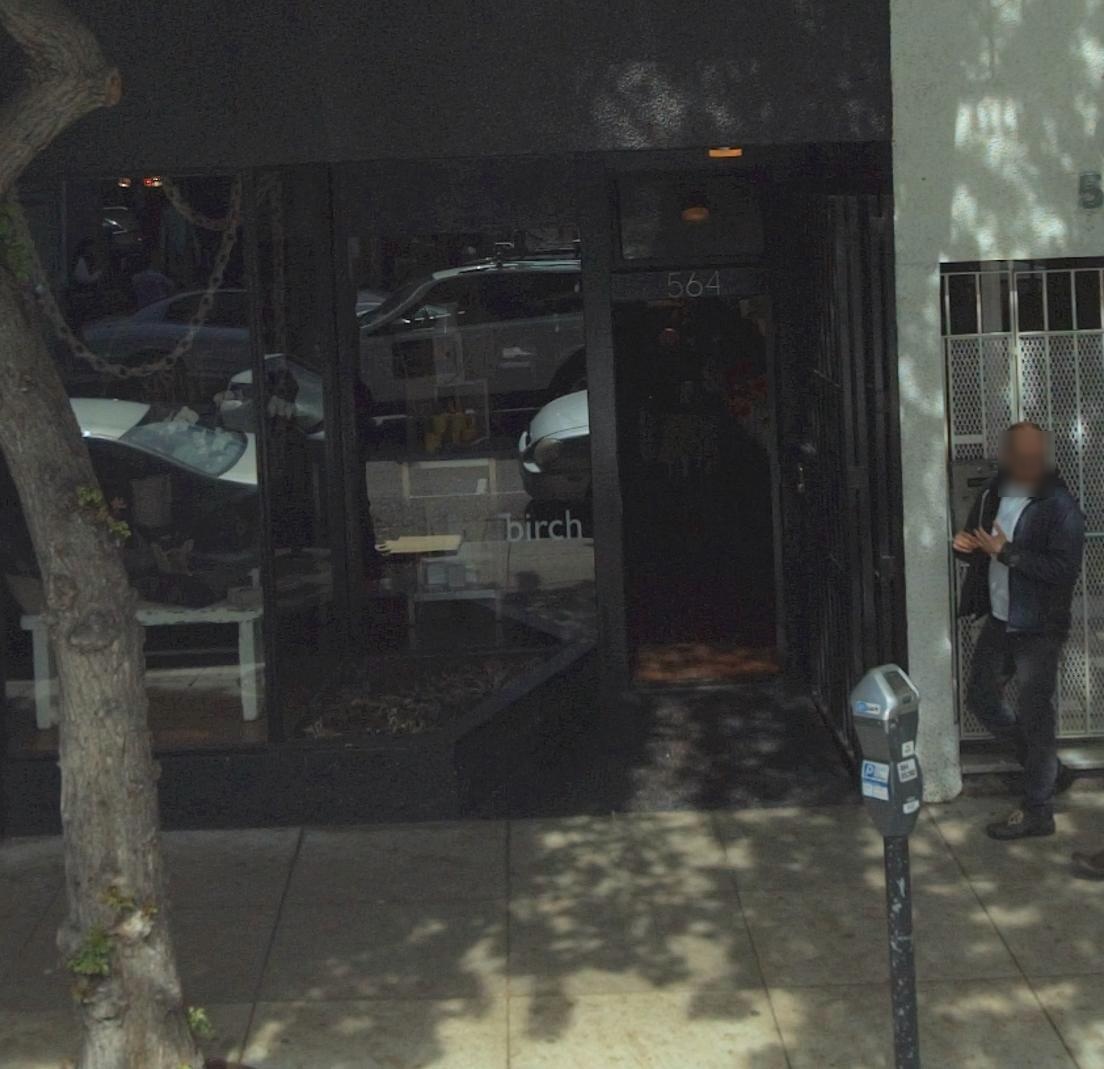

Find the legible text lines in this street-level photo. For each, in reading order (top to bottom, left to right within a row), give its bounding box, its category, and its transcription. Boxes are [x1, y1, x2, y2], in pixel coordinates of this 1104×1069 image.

[1074, 170, 1104, 214] StreetNumber: 5
[663, 265, 725, 301] StreetNumber: 564
[504, 508, 584, 545] BusinessName: birch